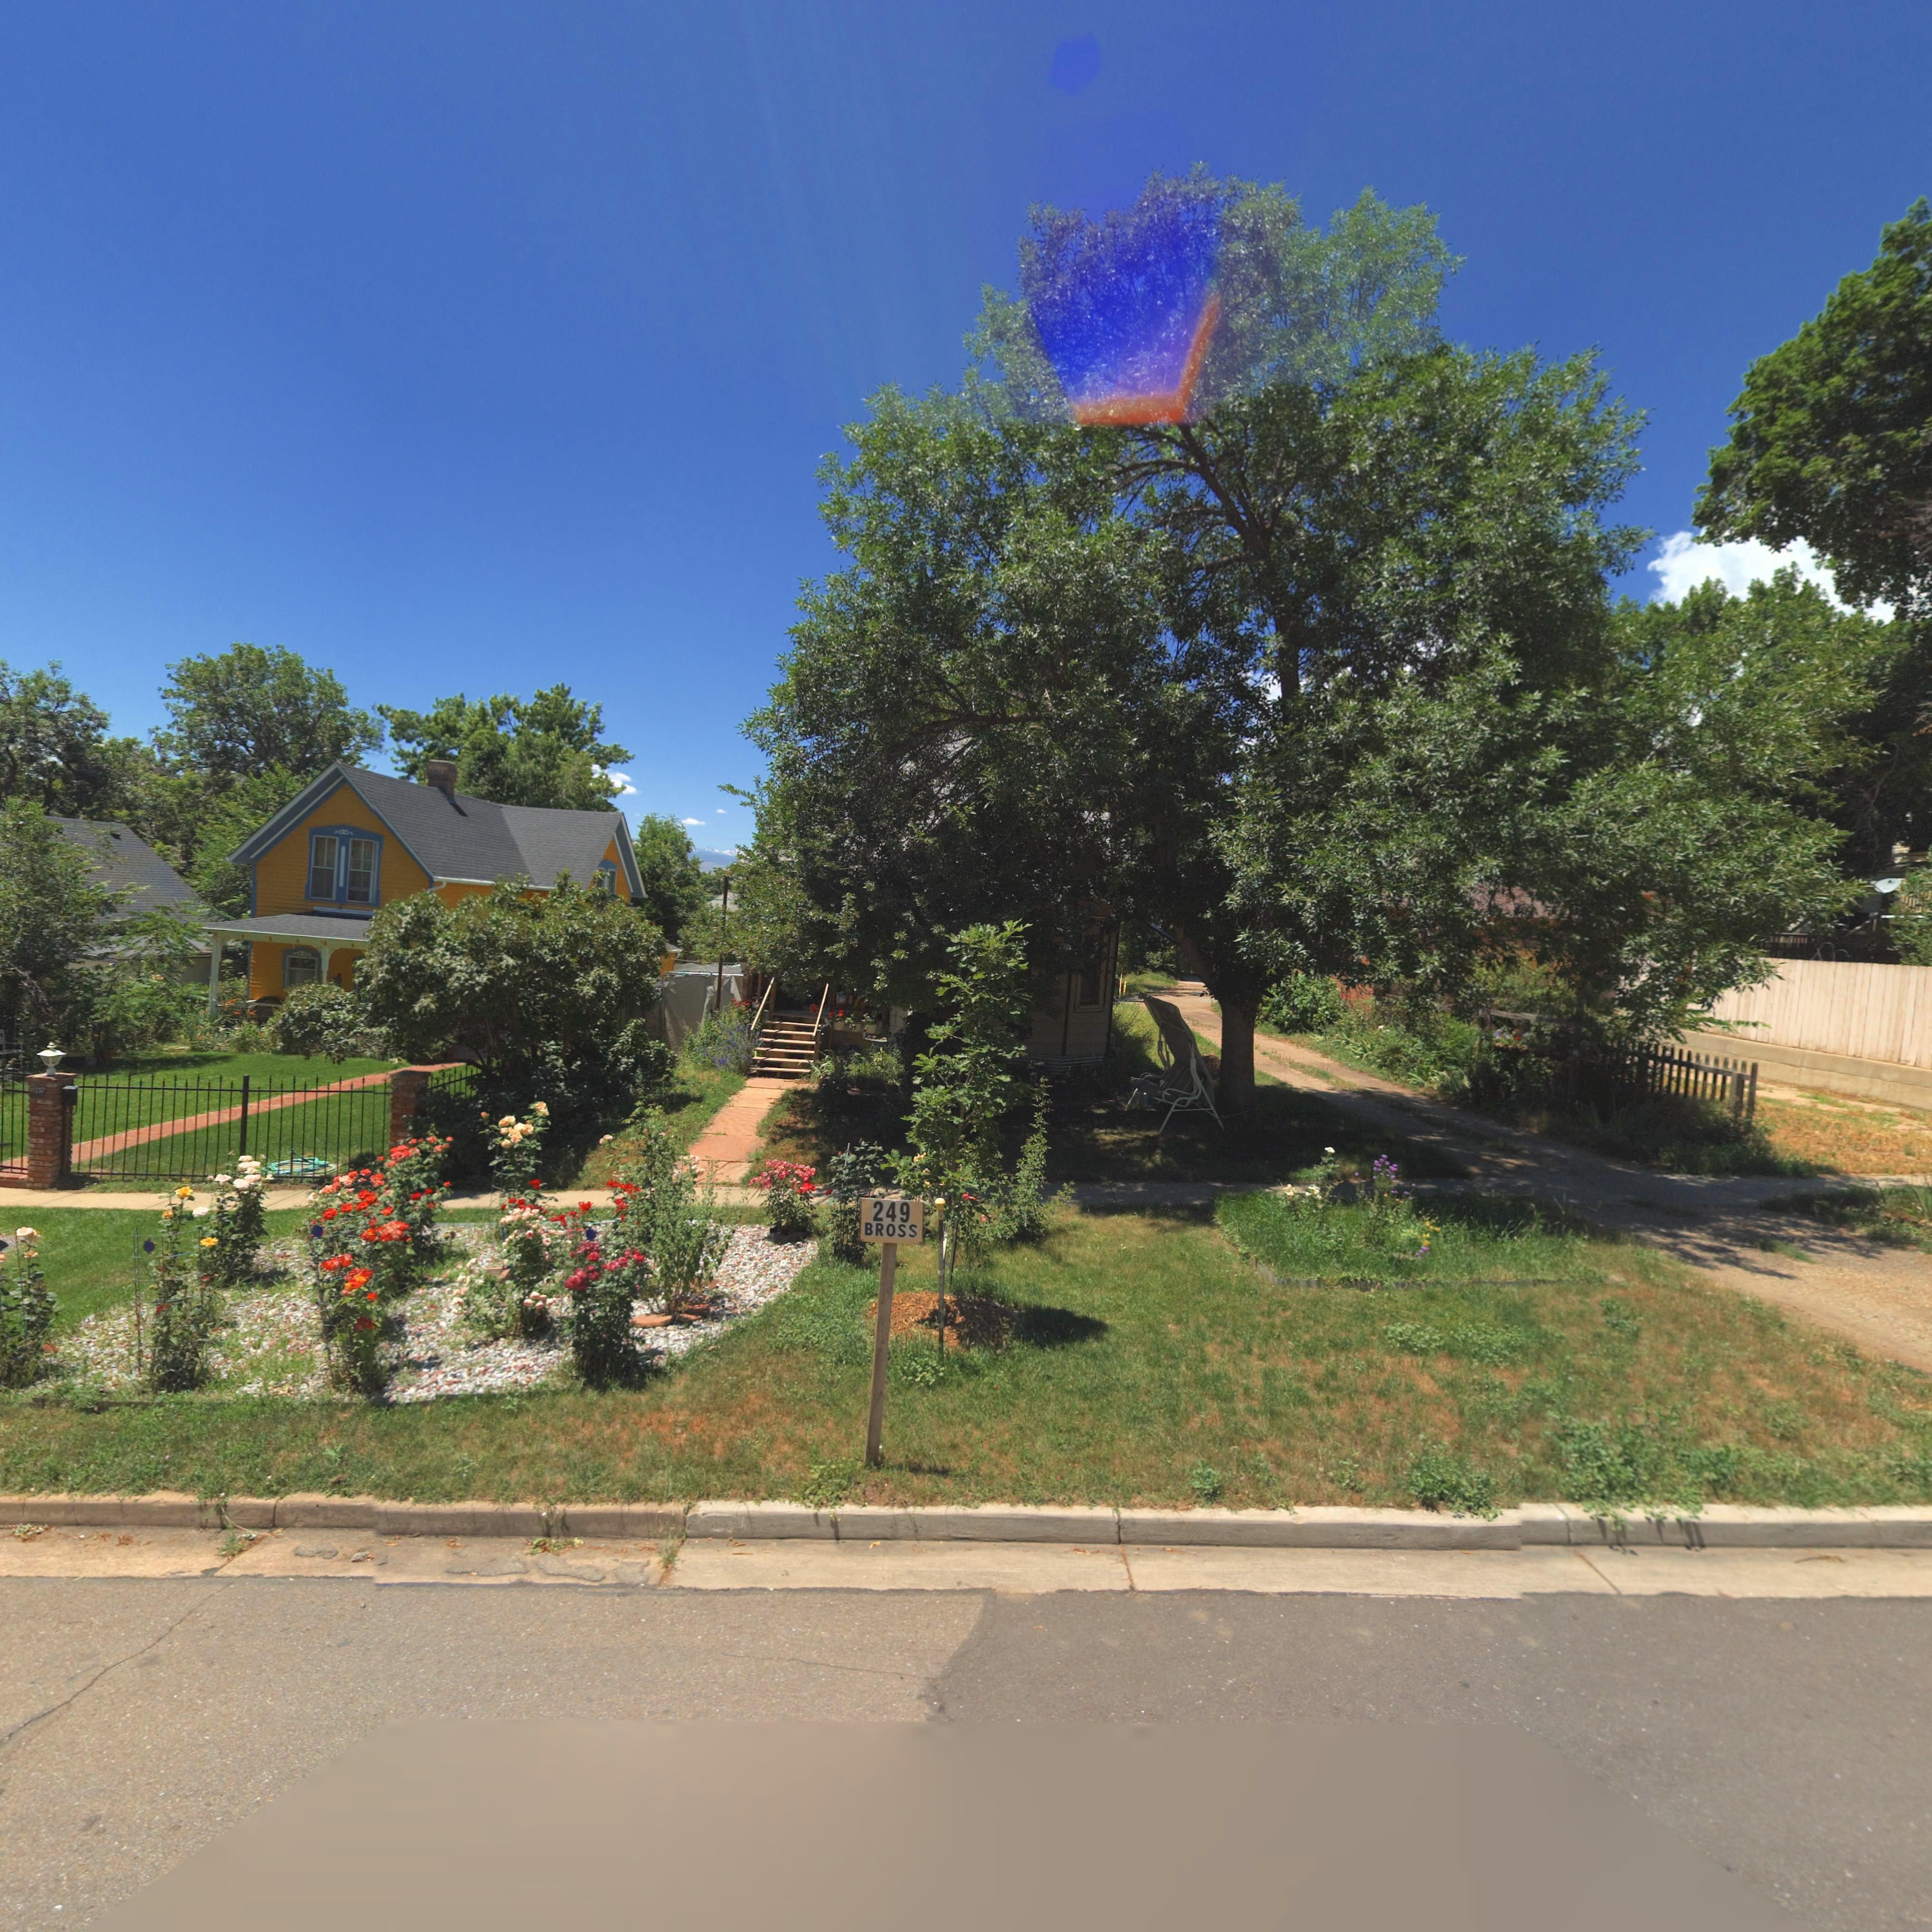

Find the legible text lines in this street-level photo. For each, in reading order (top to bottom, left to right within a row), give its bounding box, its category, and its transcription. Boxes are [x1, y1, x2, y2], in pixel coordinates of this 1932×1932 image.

[872, 1200, 910, 1223] StreetNumber: 249
[864, 1222, 918, 1238] StreetName: BROSS